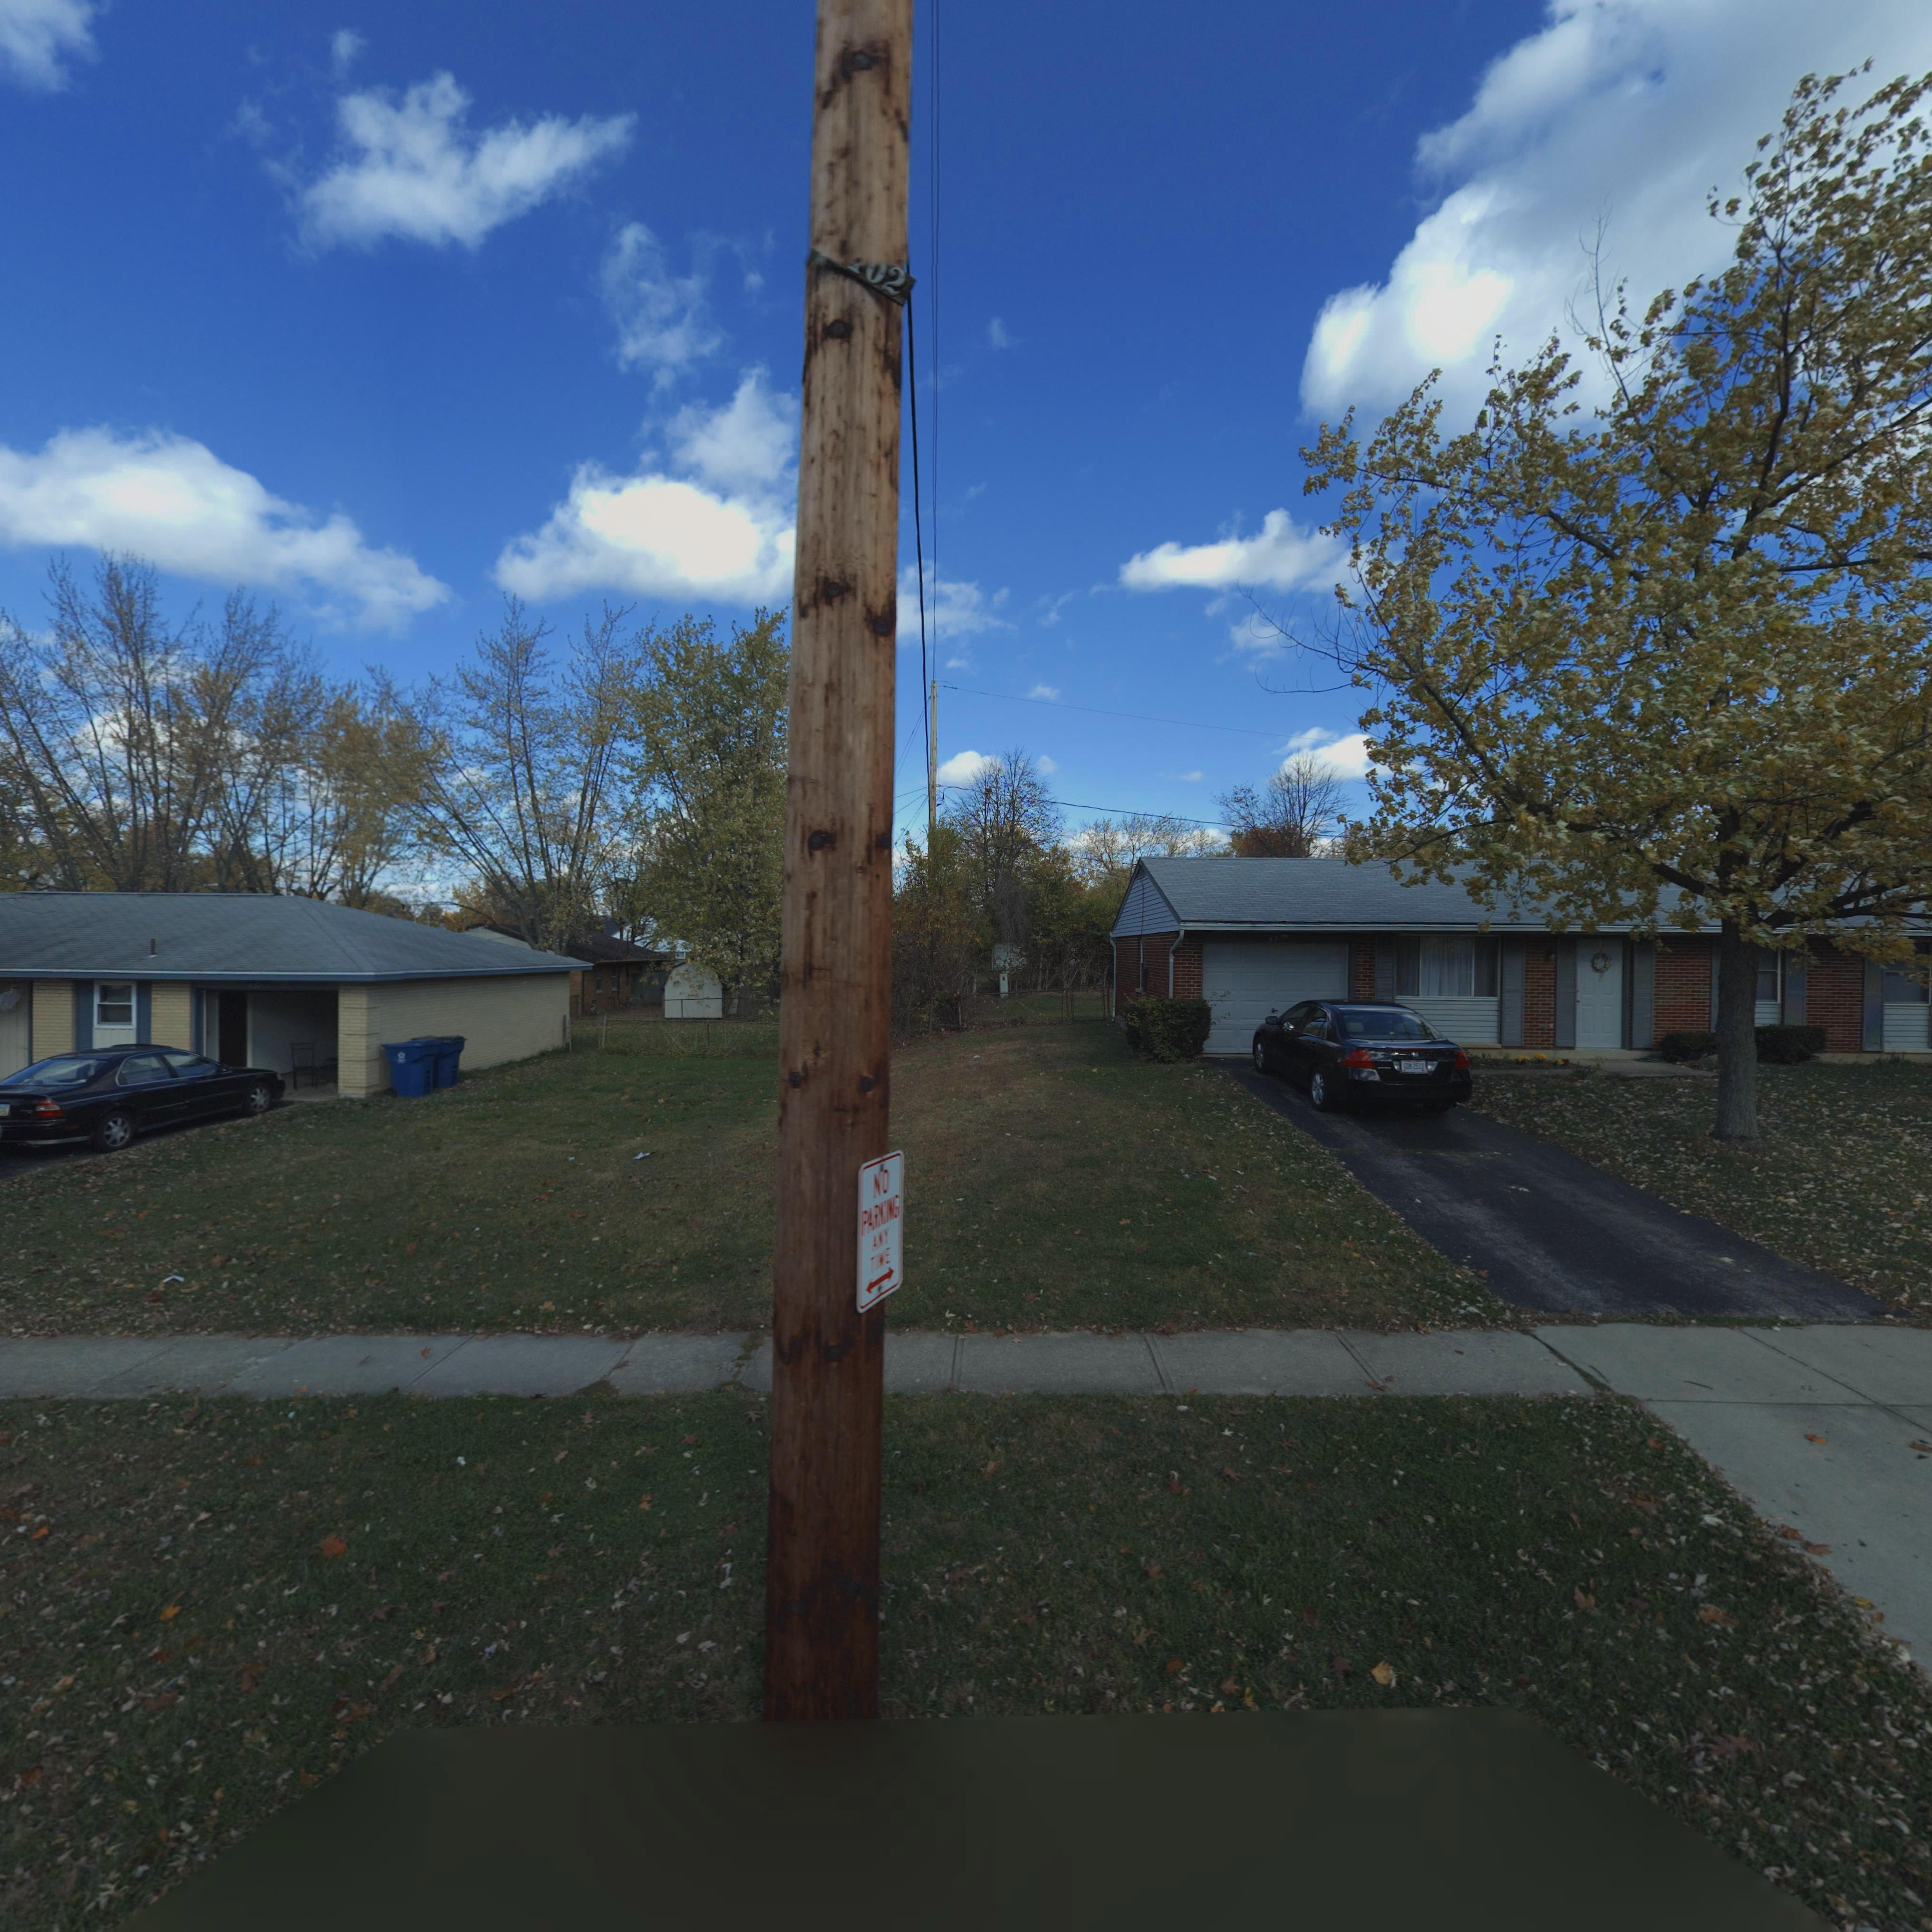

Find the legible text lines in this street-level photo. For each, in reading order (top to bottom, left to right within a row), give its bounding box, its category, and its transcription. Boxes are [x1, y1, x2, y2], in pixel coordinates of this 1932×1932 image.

[1268, 935, 1278, 942] StreetNumber: 63